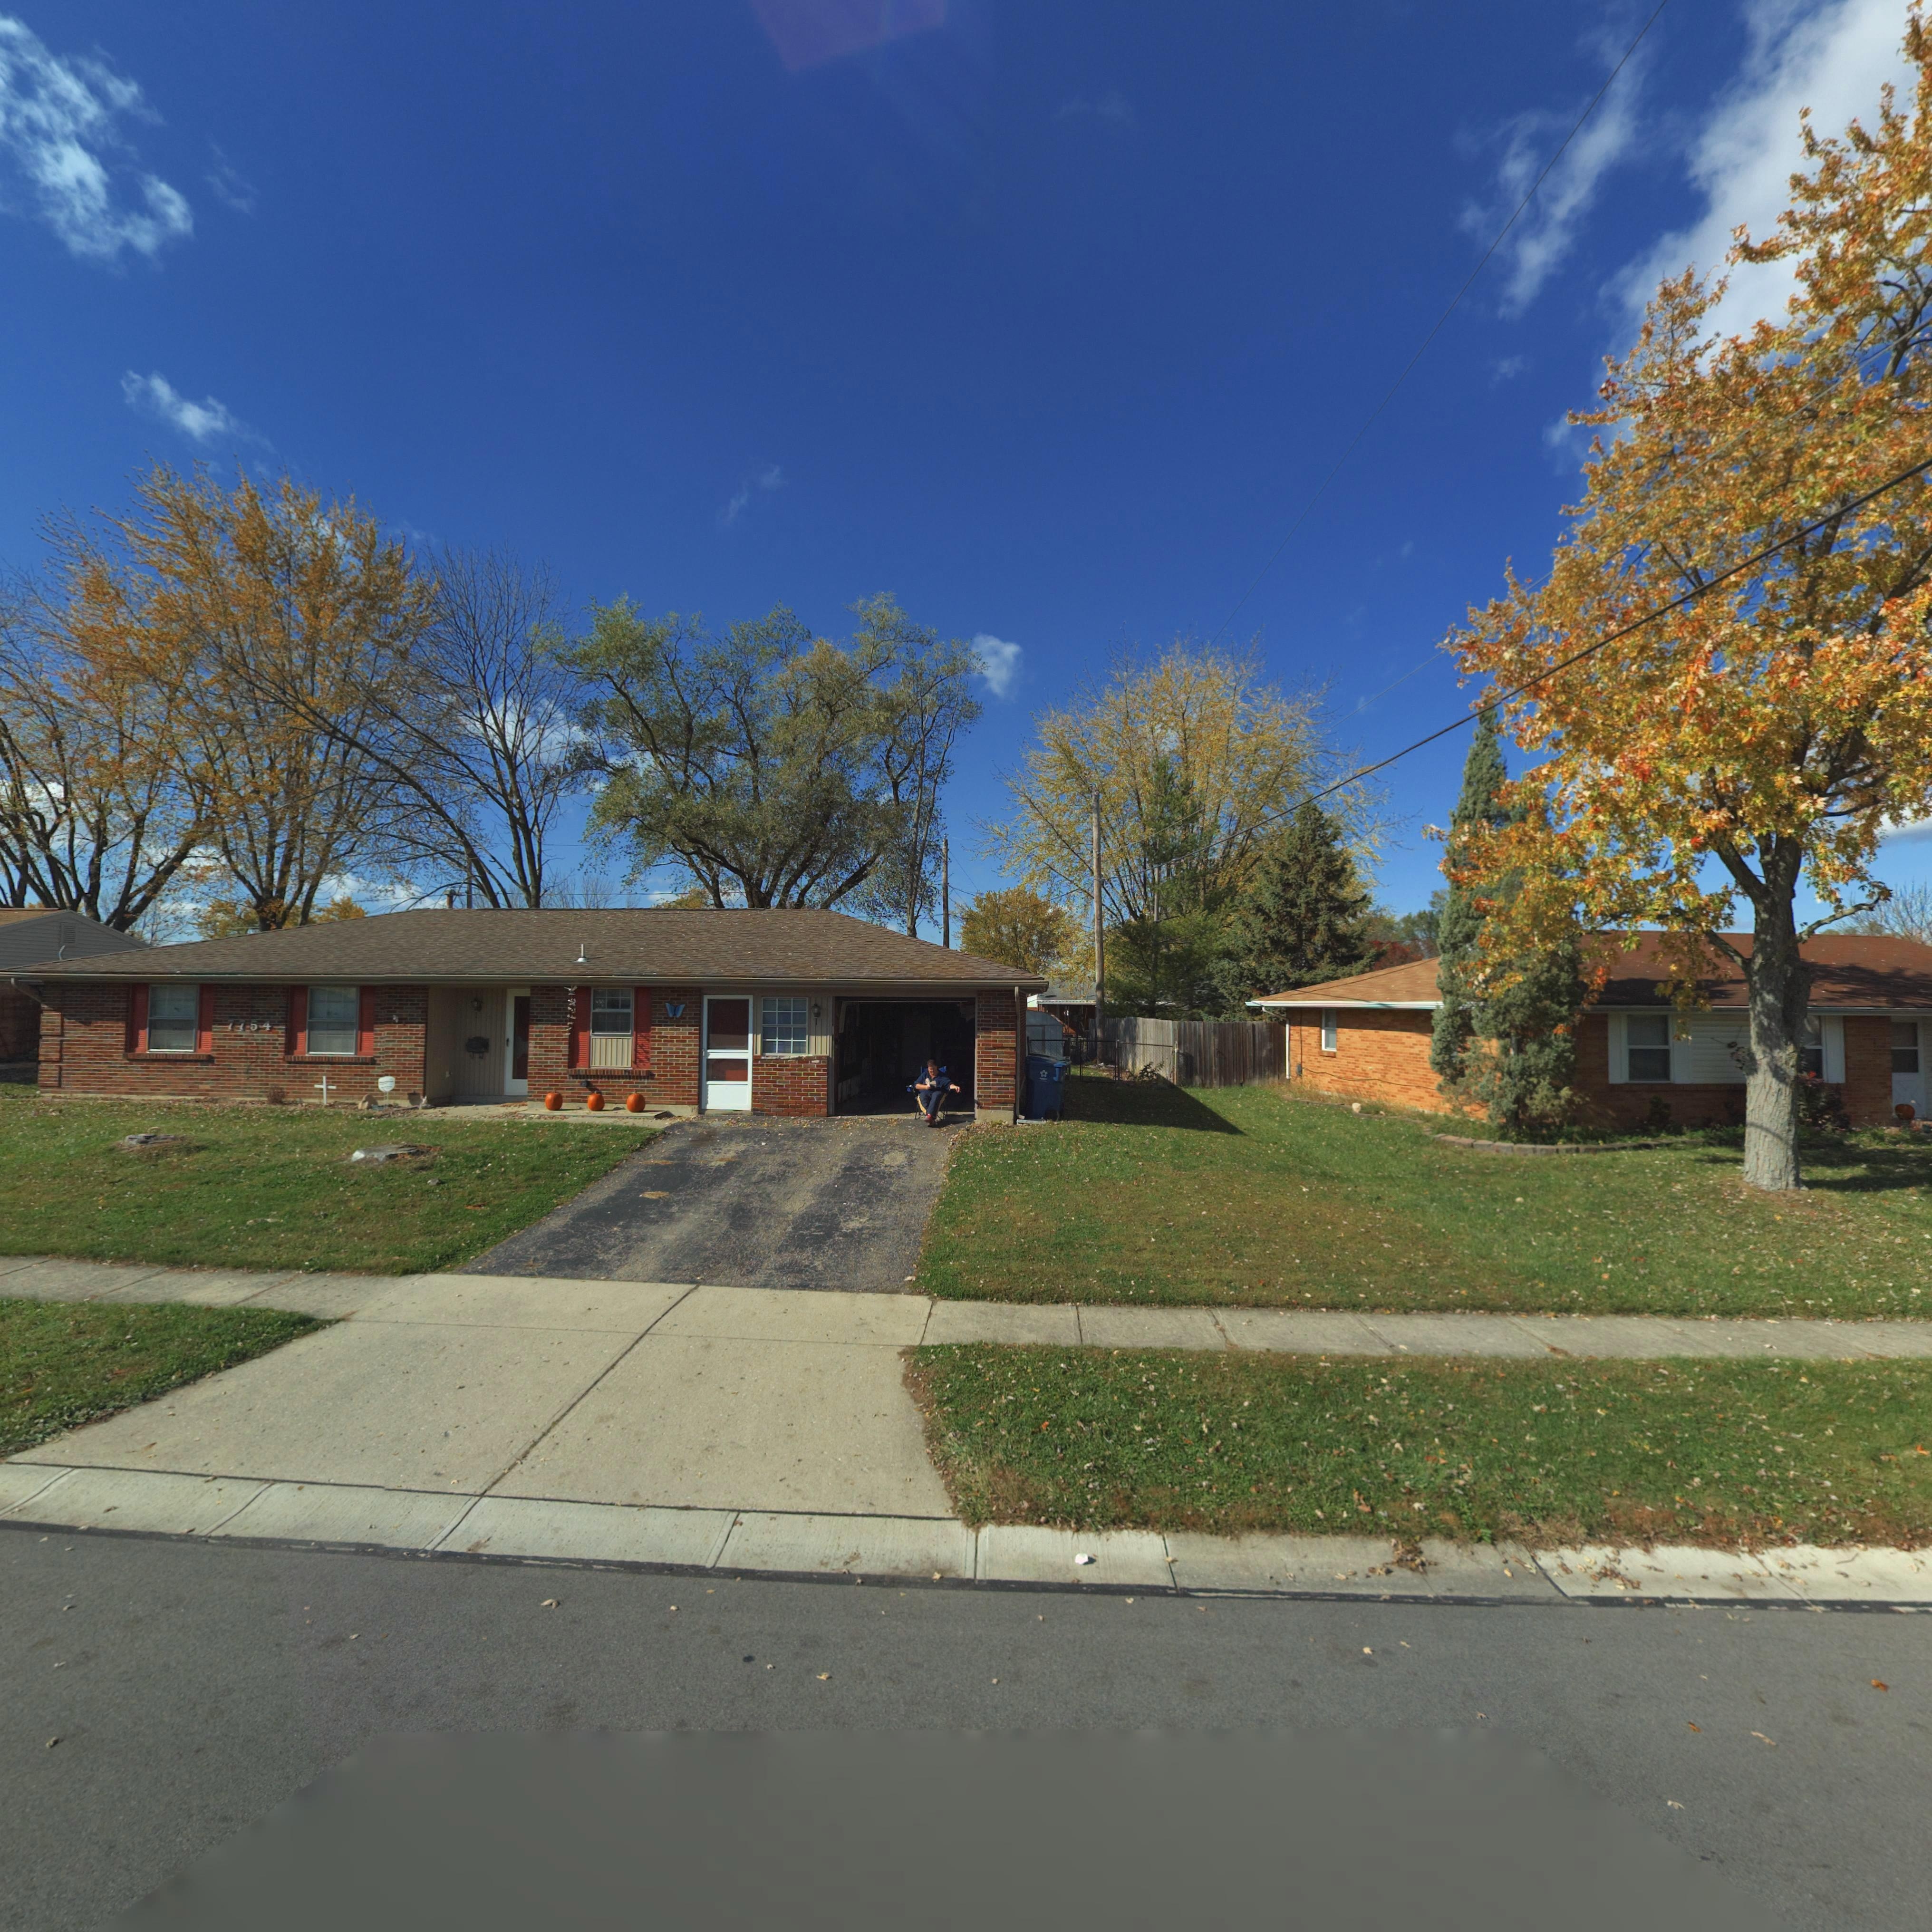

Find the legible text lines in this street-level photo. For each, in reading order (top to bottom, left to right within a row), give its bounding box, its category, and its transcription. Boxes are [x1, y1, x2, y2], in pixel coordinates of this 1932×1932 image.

[227, 1018, 273, 1032] StreetNumber: 7754